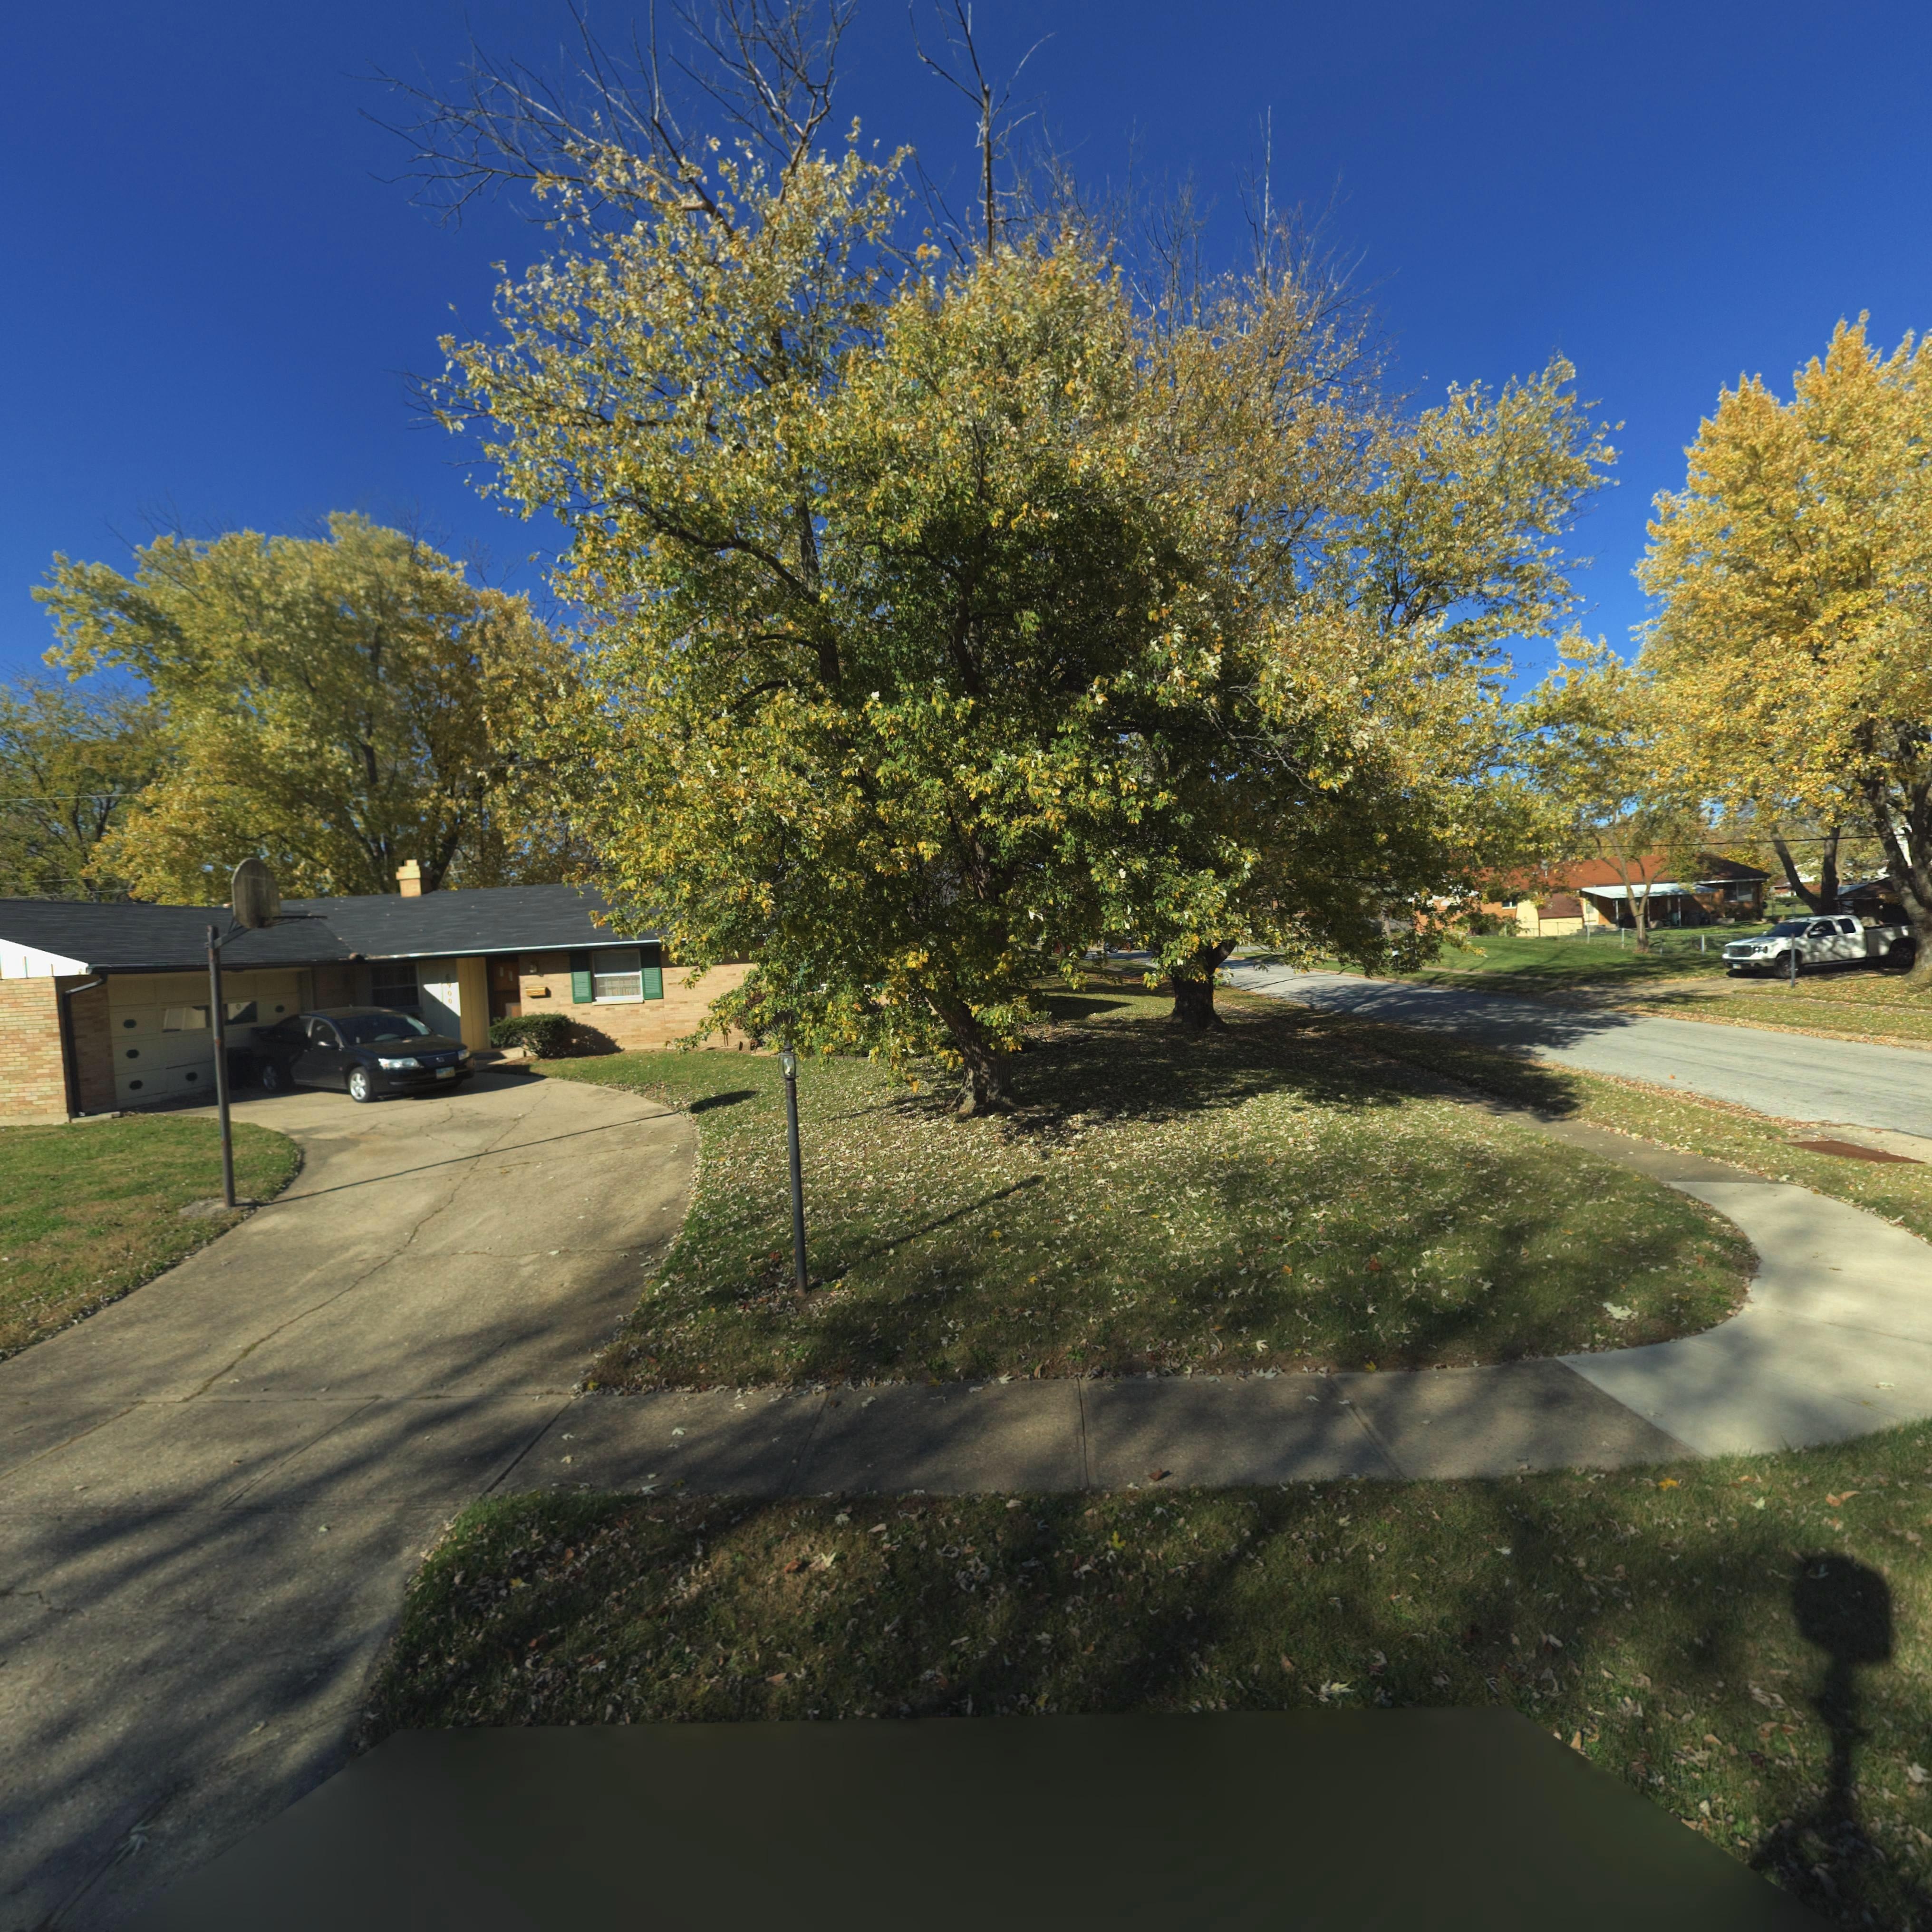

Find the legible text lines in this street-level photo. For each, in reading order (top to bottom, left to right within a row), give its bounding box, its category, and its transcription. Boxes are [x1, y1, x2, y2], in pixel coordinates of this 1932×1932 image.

[444, 973, 453, 1004] StreetNumber: 6900